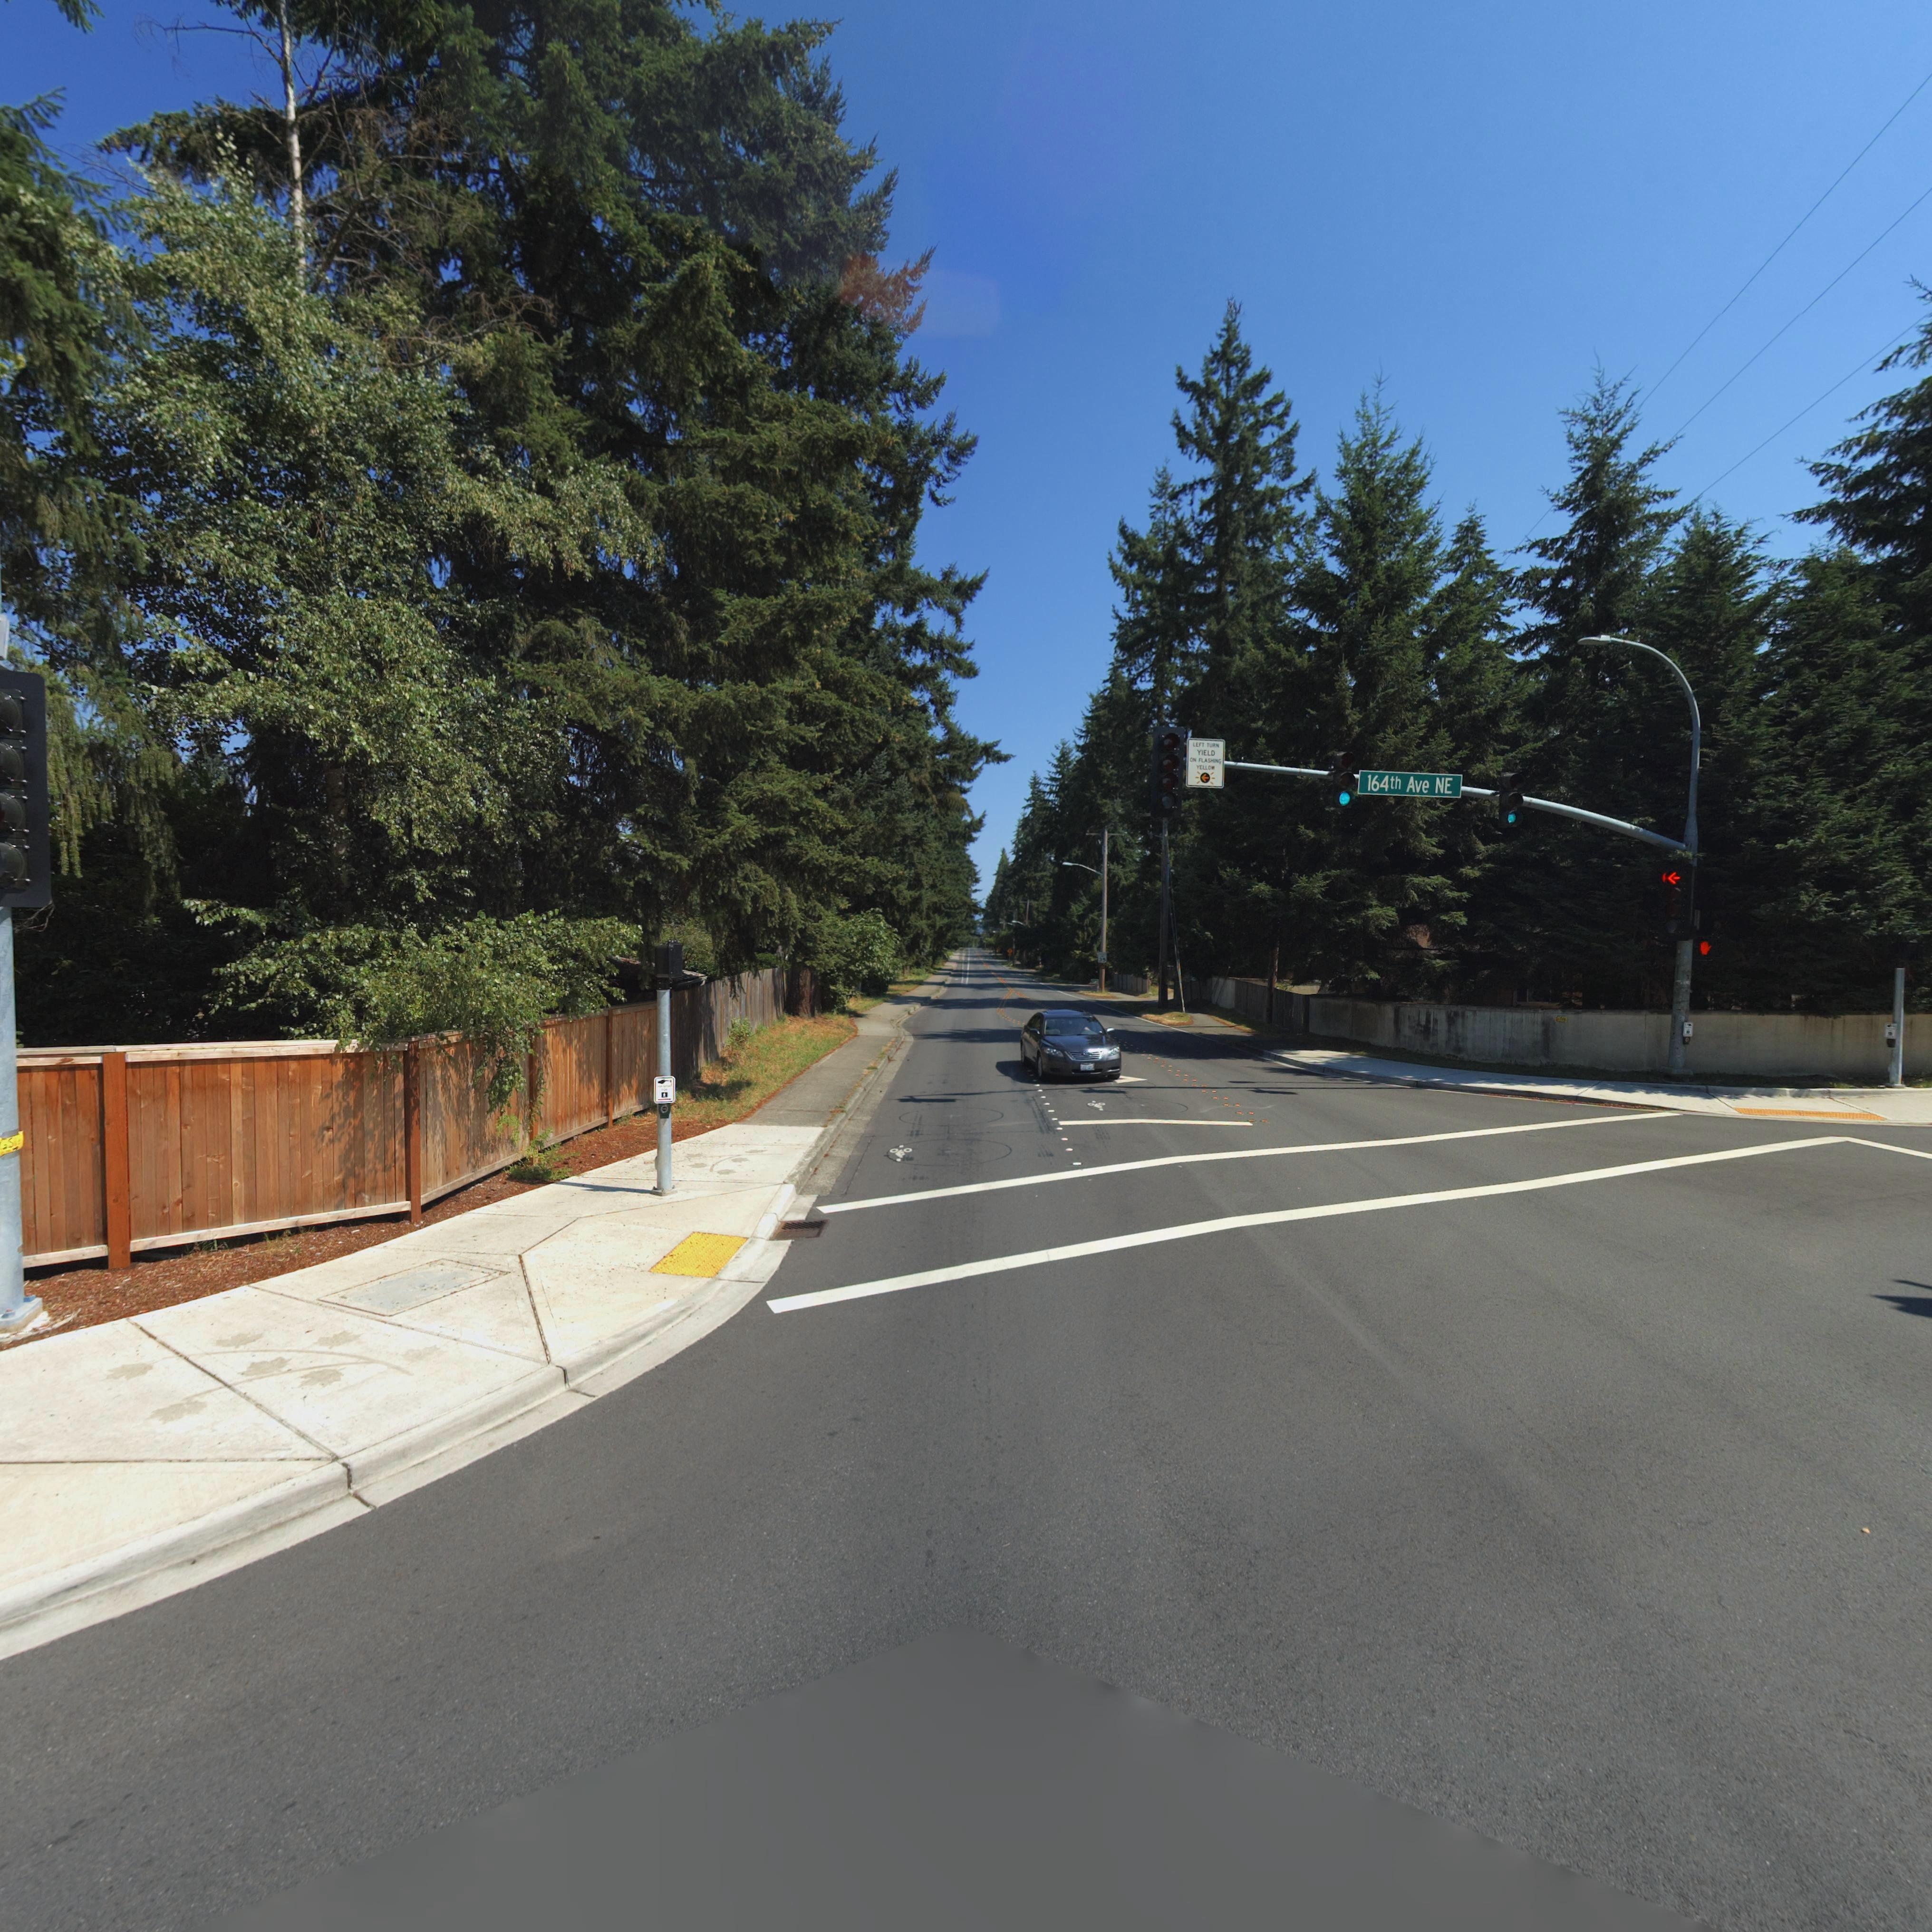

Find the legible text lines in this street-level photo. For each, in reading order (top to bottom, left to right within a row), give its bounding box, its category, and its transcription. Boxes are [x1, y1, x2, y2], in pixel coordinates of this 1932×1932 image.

[1368, 774, 1453, 794] StreetName: 164th Ave NE